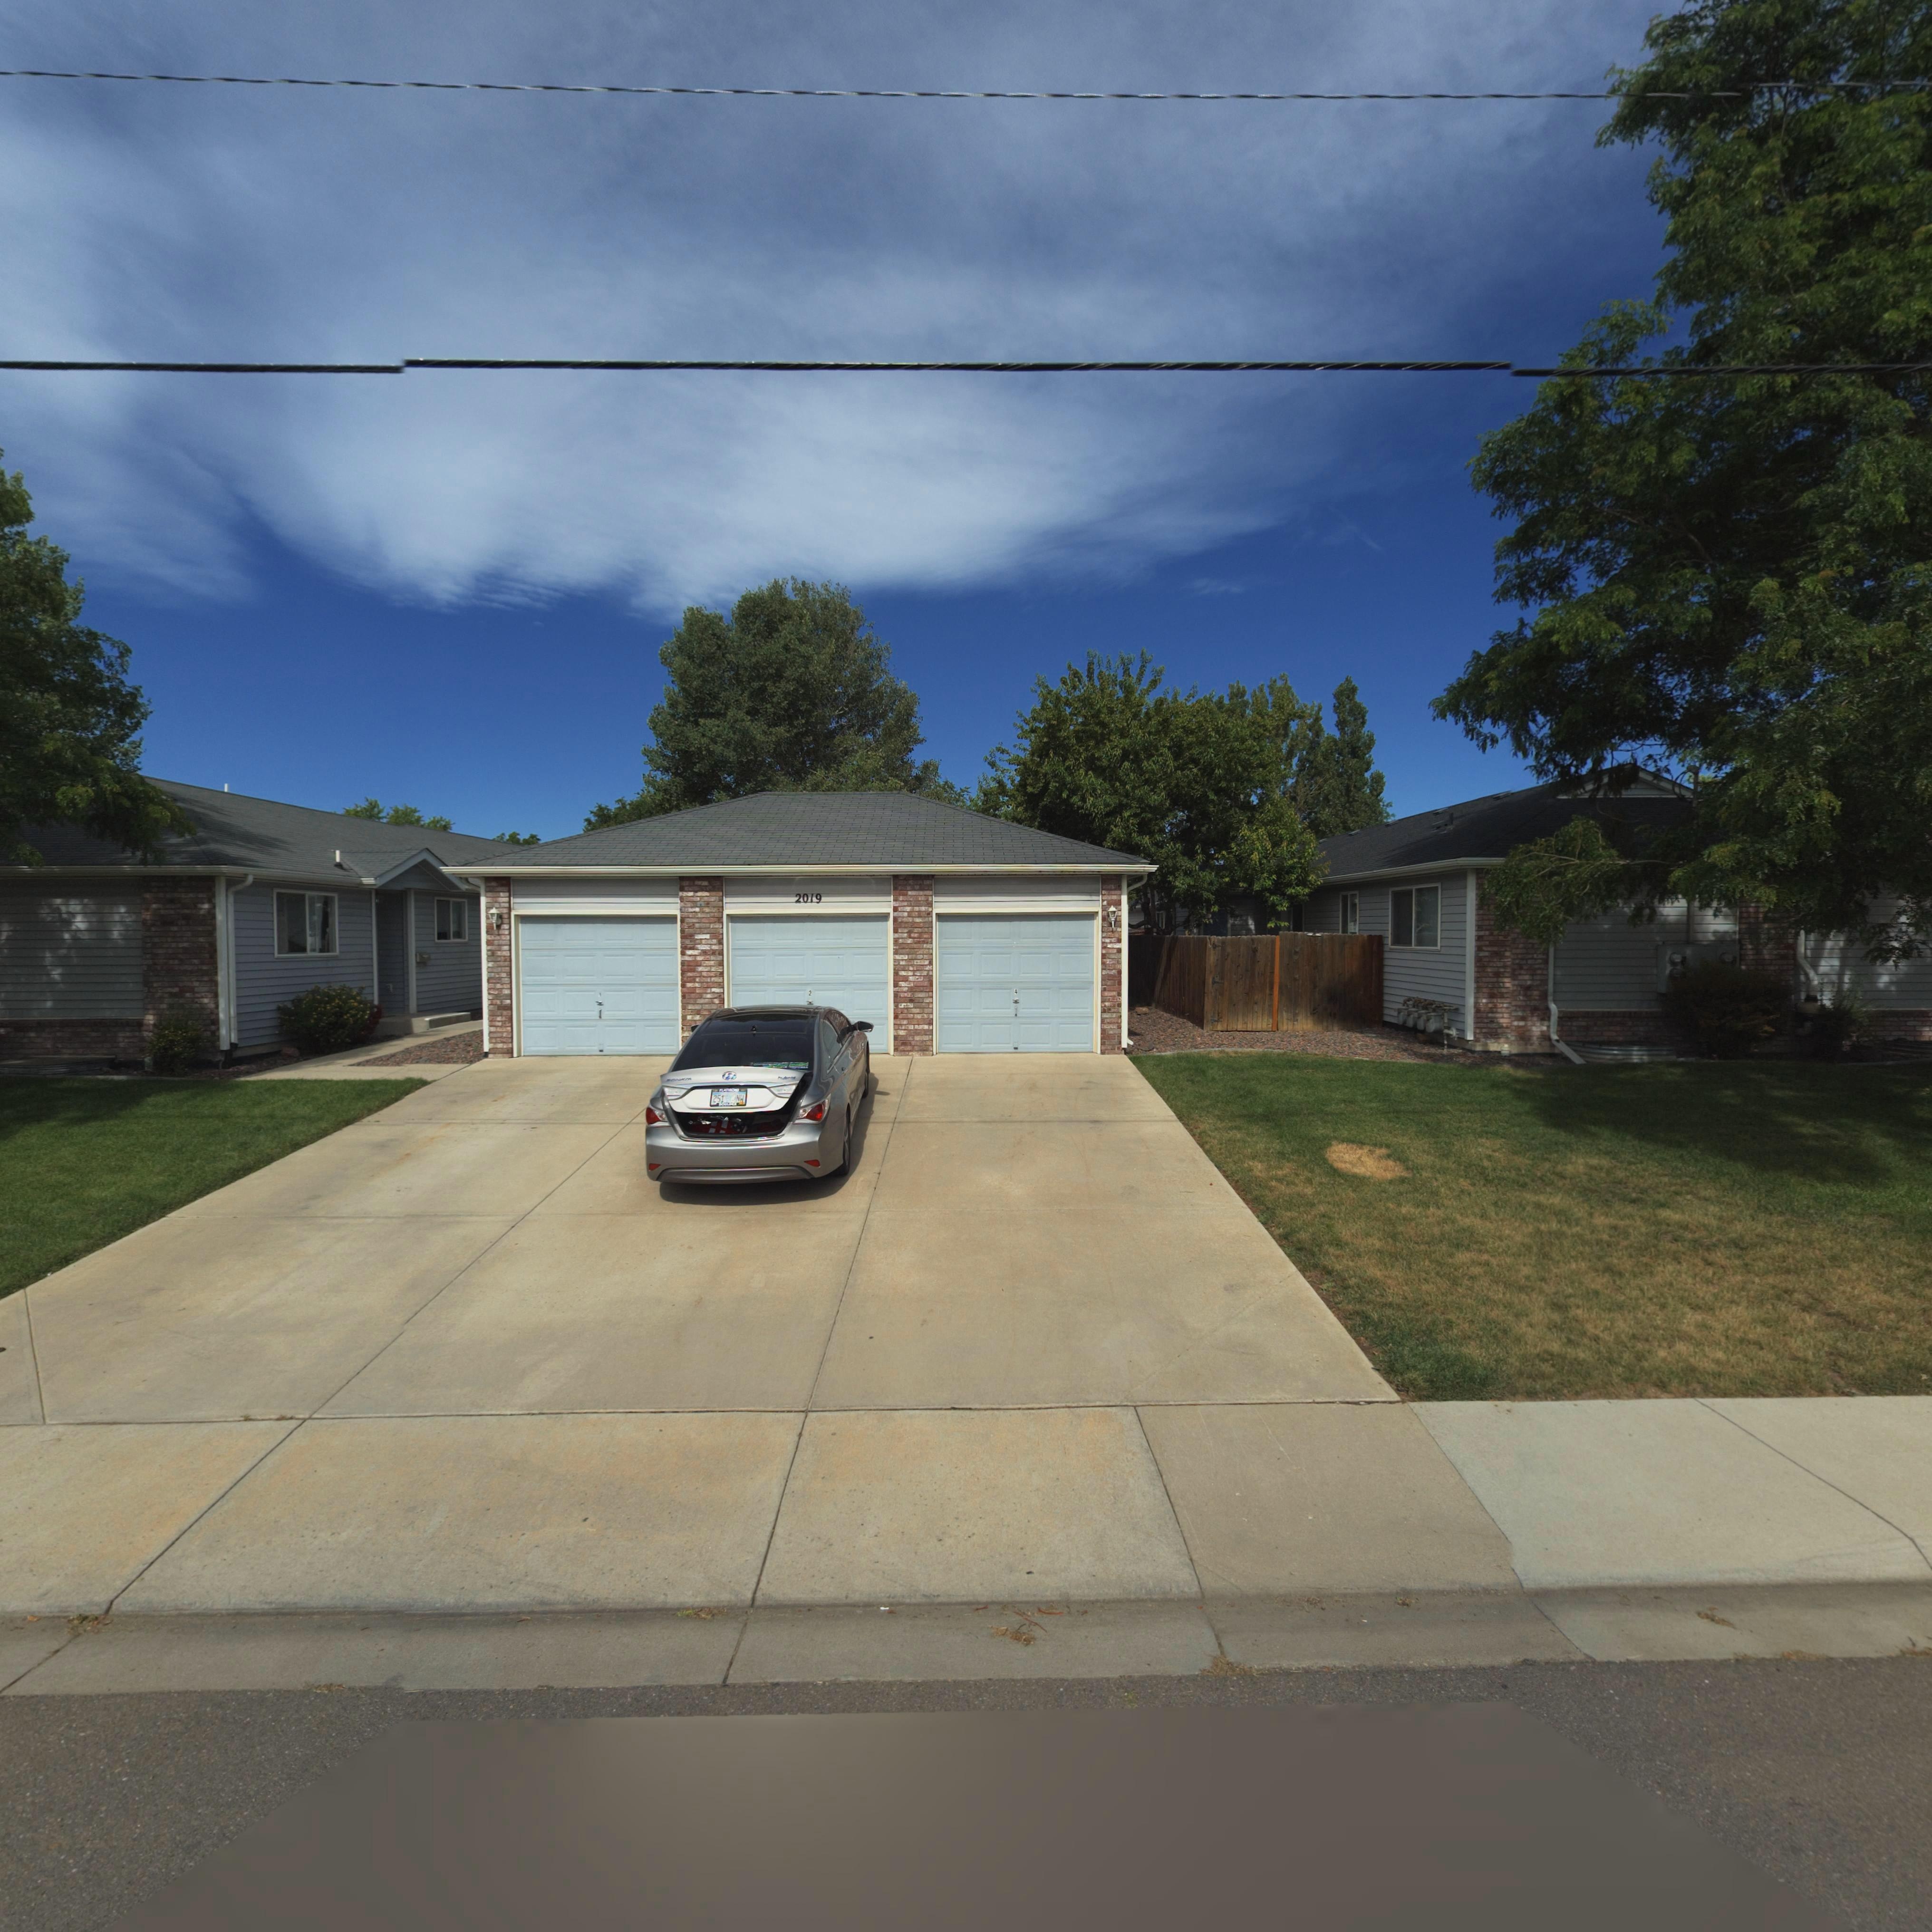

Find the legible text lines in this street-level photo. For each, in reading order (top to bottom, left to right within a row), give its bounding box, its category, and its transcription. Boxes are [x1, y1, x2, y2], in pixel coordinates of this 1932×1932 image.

[794, 893, 822, 904] StreetNumber: 2019